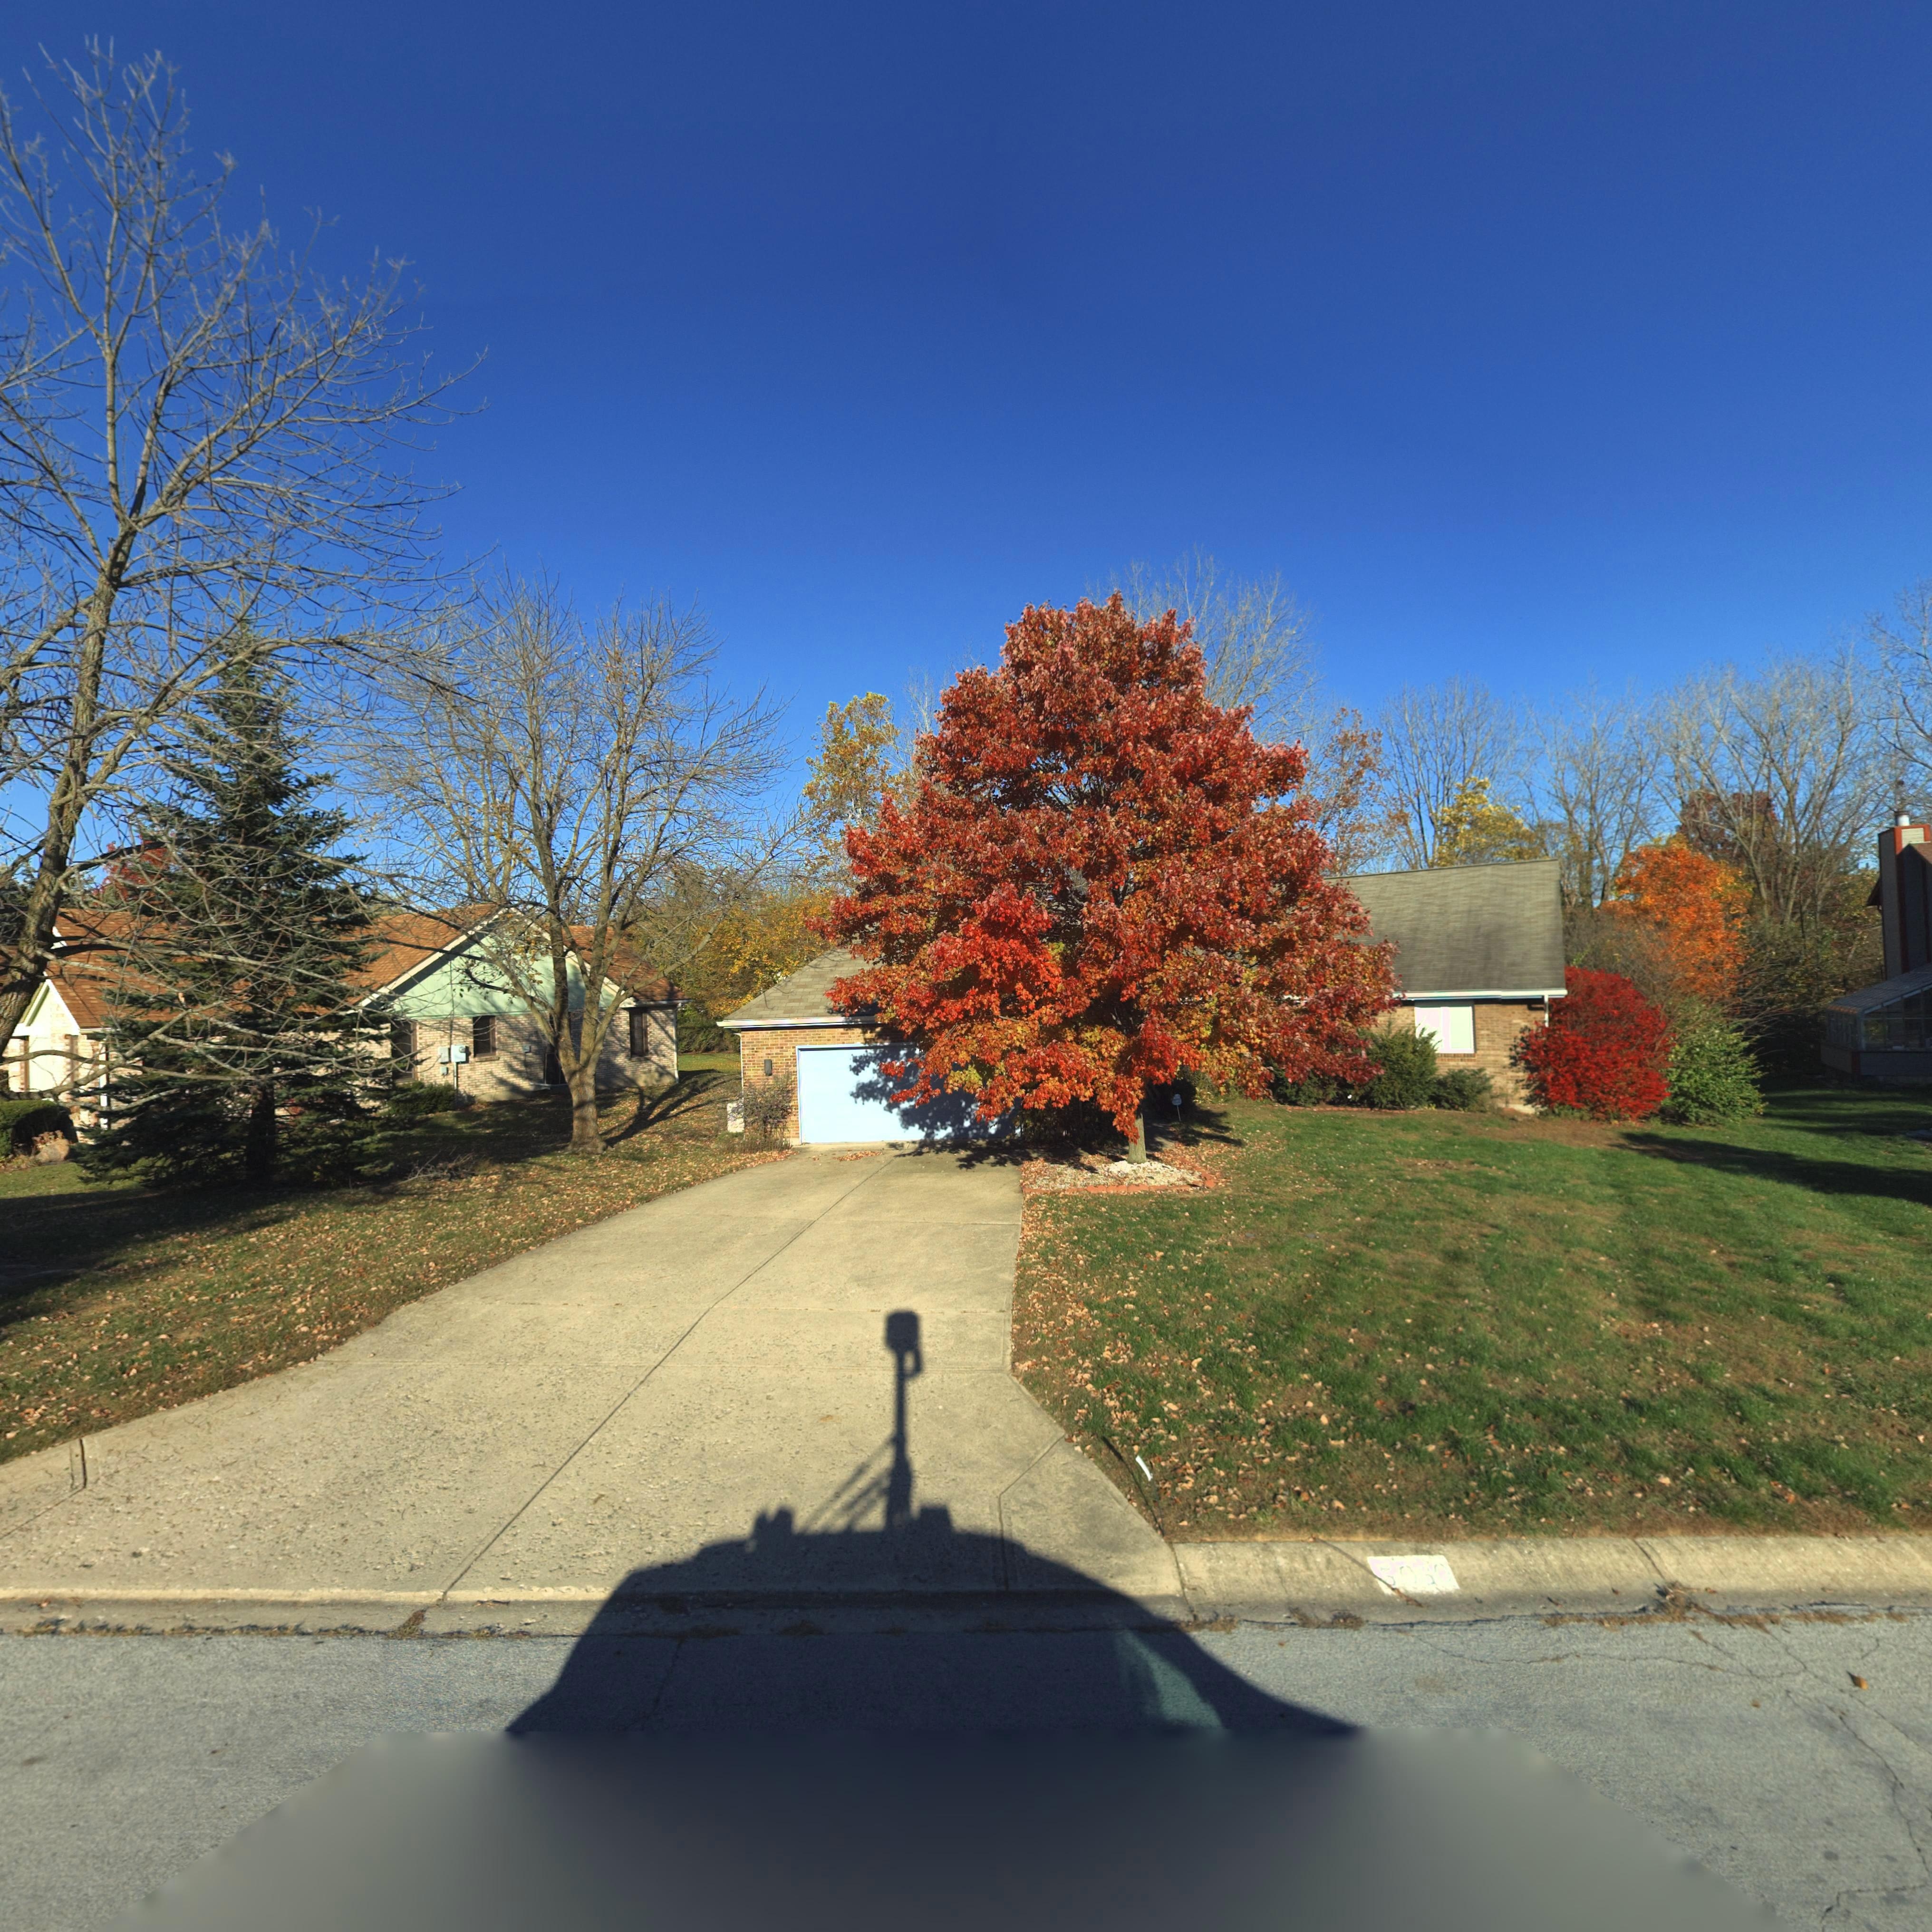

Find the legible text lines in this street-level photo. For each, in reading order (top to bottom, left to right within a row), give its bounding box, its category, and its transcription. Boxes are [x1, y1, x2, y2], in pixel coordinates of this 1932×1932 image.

[1377, 1562, 1453, 1587] StreetNumber: 50*0